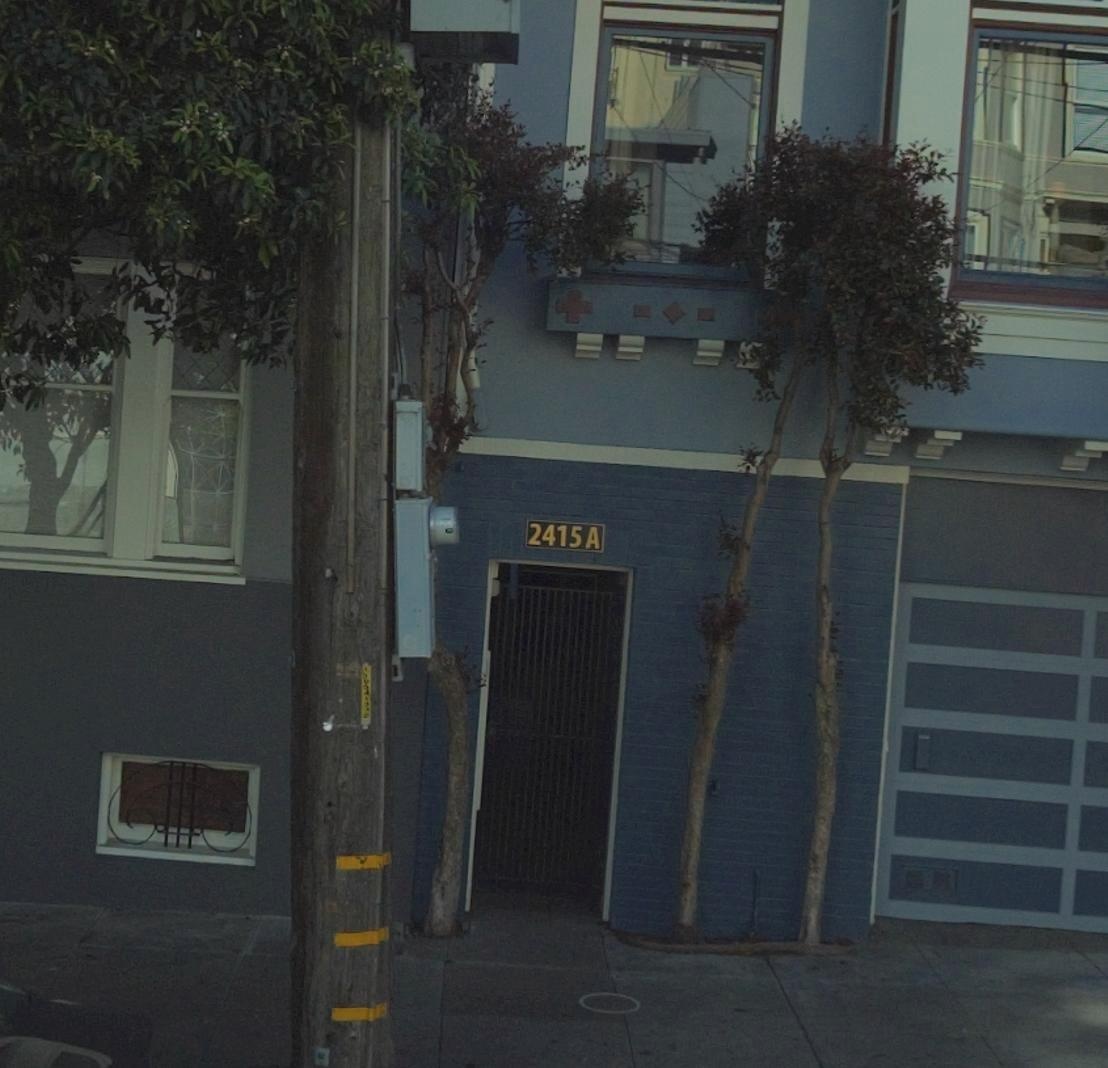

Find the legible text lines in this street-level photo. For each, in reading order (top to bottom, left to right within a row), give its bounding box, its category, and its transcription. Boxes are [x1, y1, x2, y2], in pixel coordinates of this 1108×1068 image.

[526, 522, 601, 550] StreetNumber: 2415A